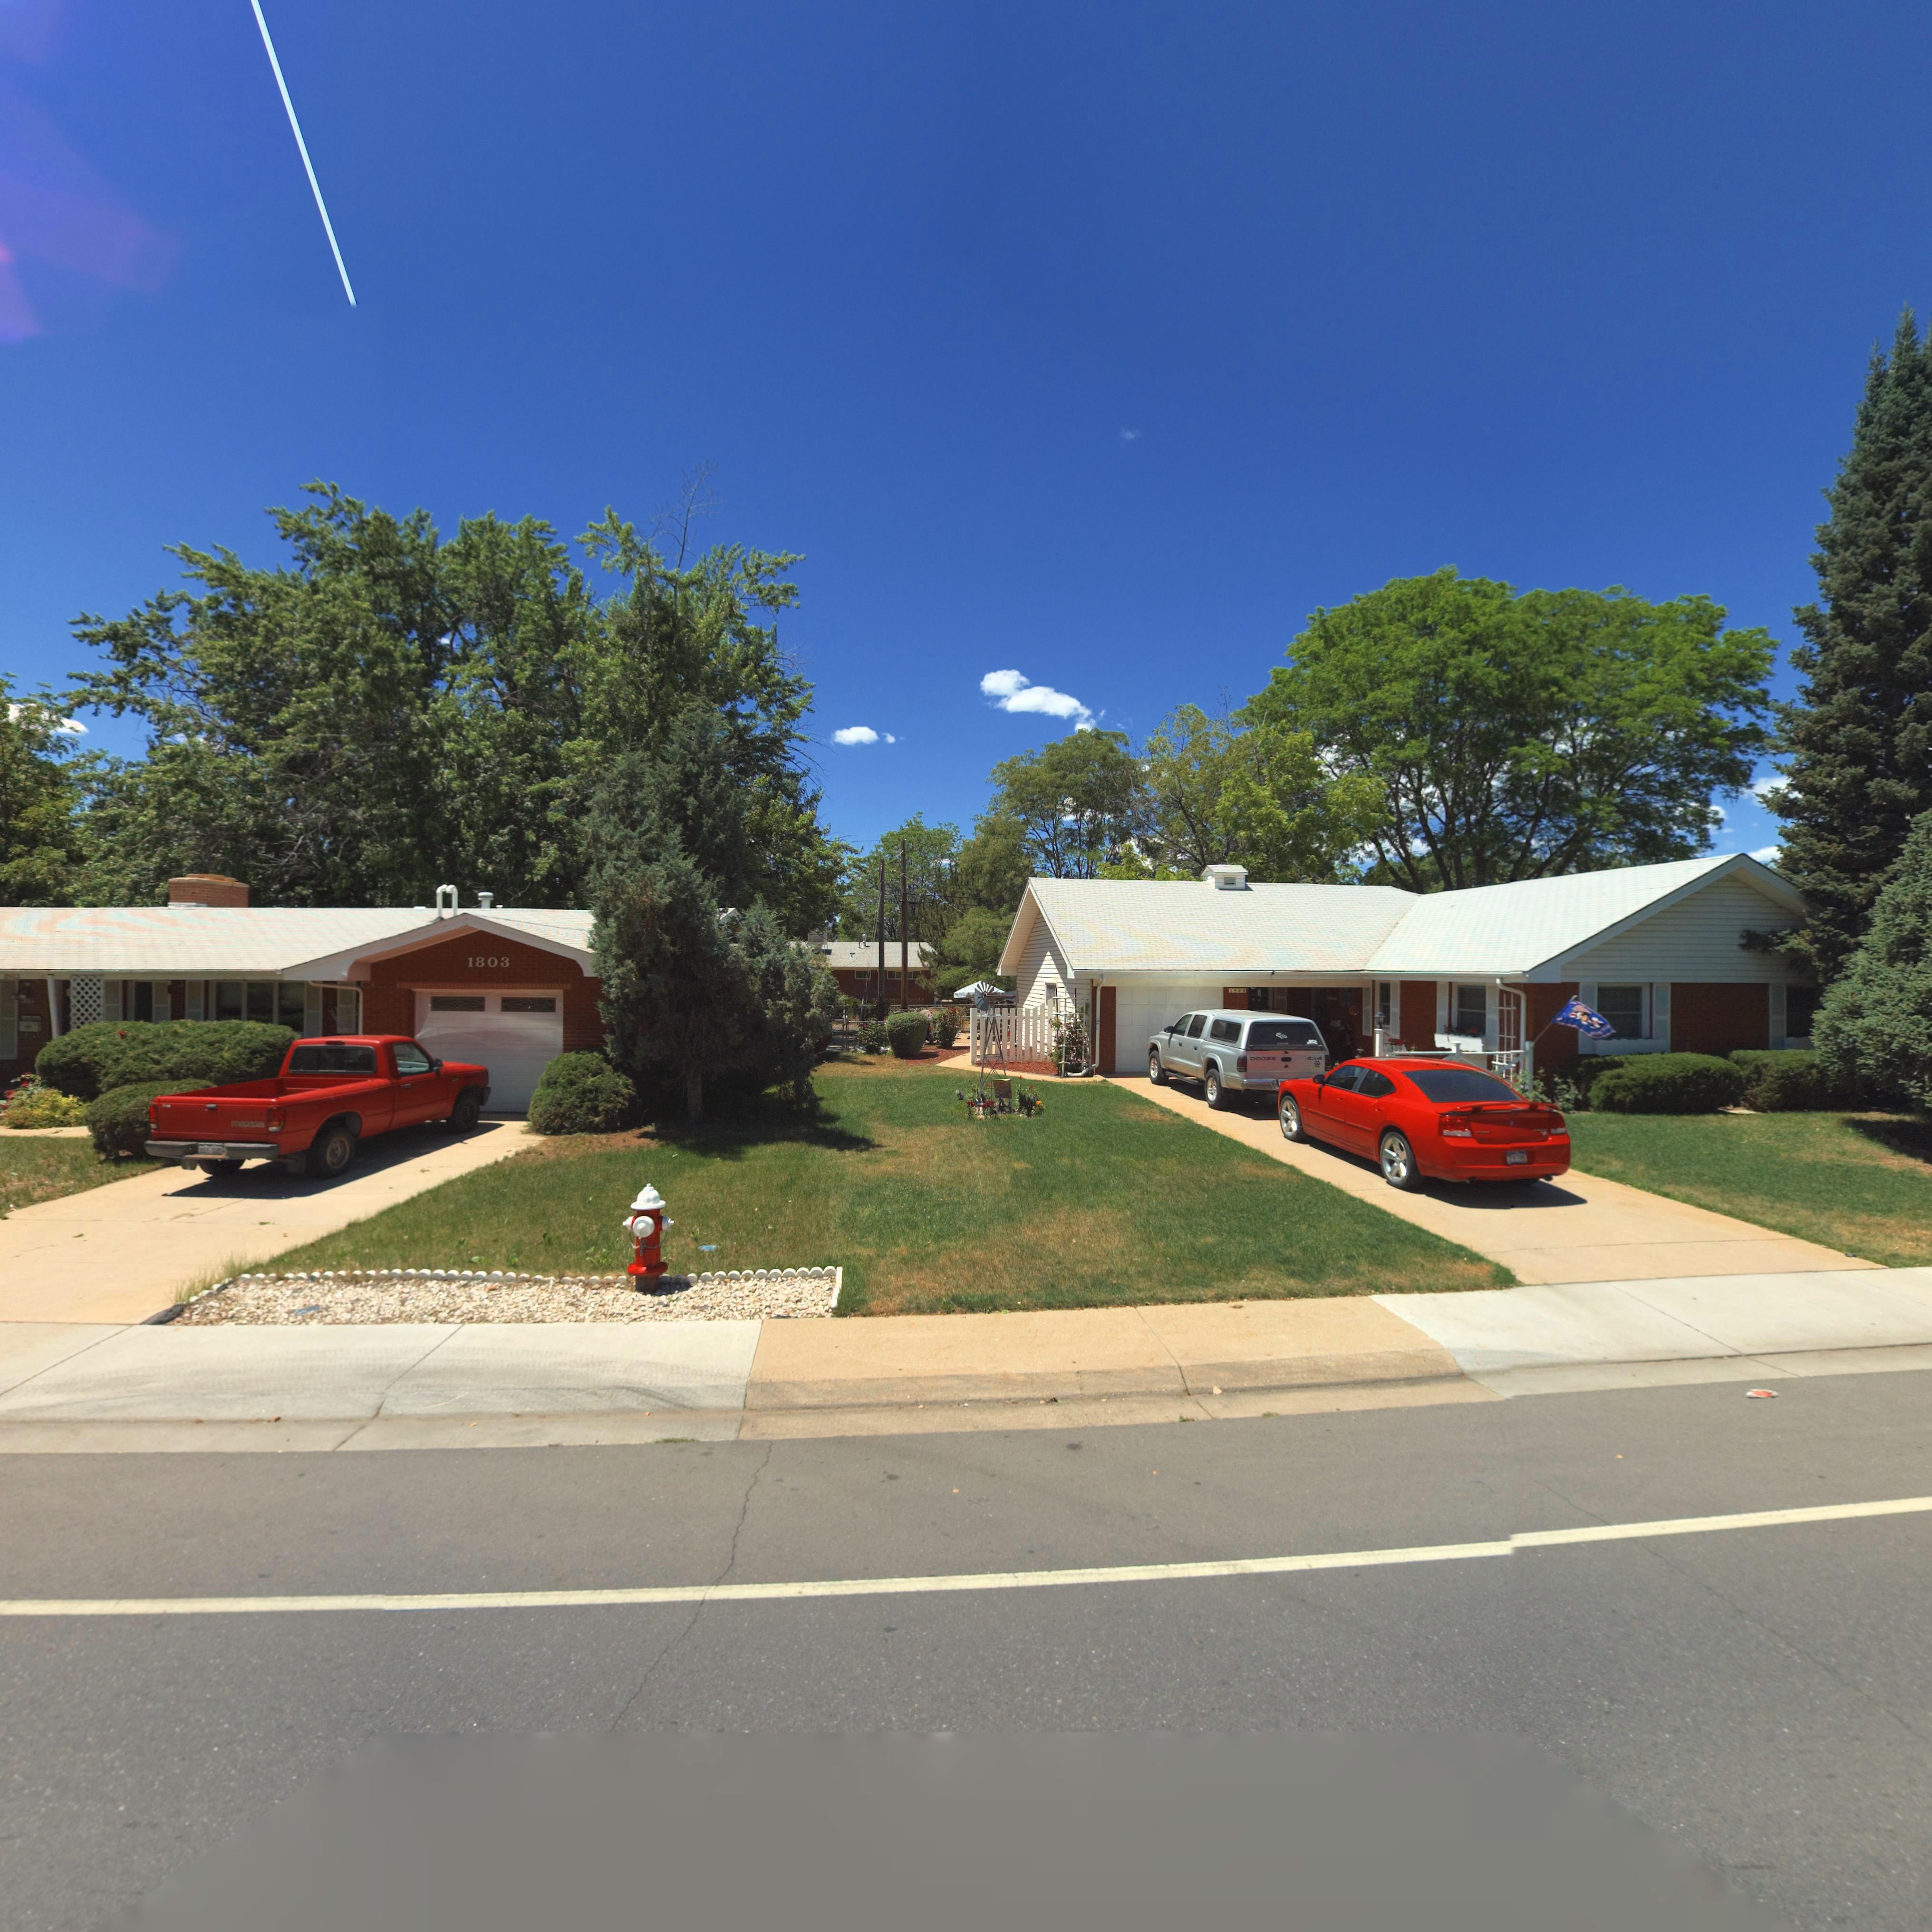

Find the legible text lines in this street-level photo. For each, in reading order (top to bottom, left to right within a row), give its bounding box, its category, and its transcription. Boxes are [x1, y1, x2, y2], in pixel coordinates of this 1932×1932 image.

[468, 956, 510, 967] StreetNumber: 1803